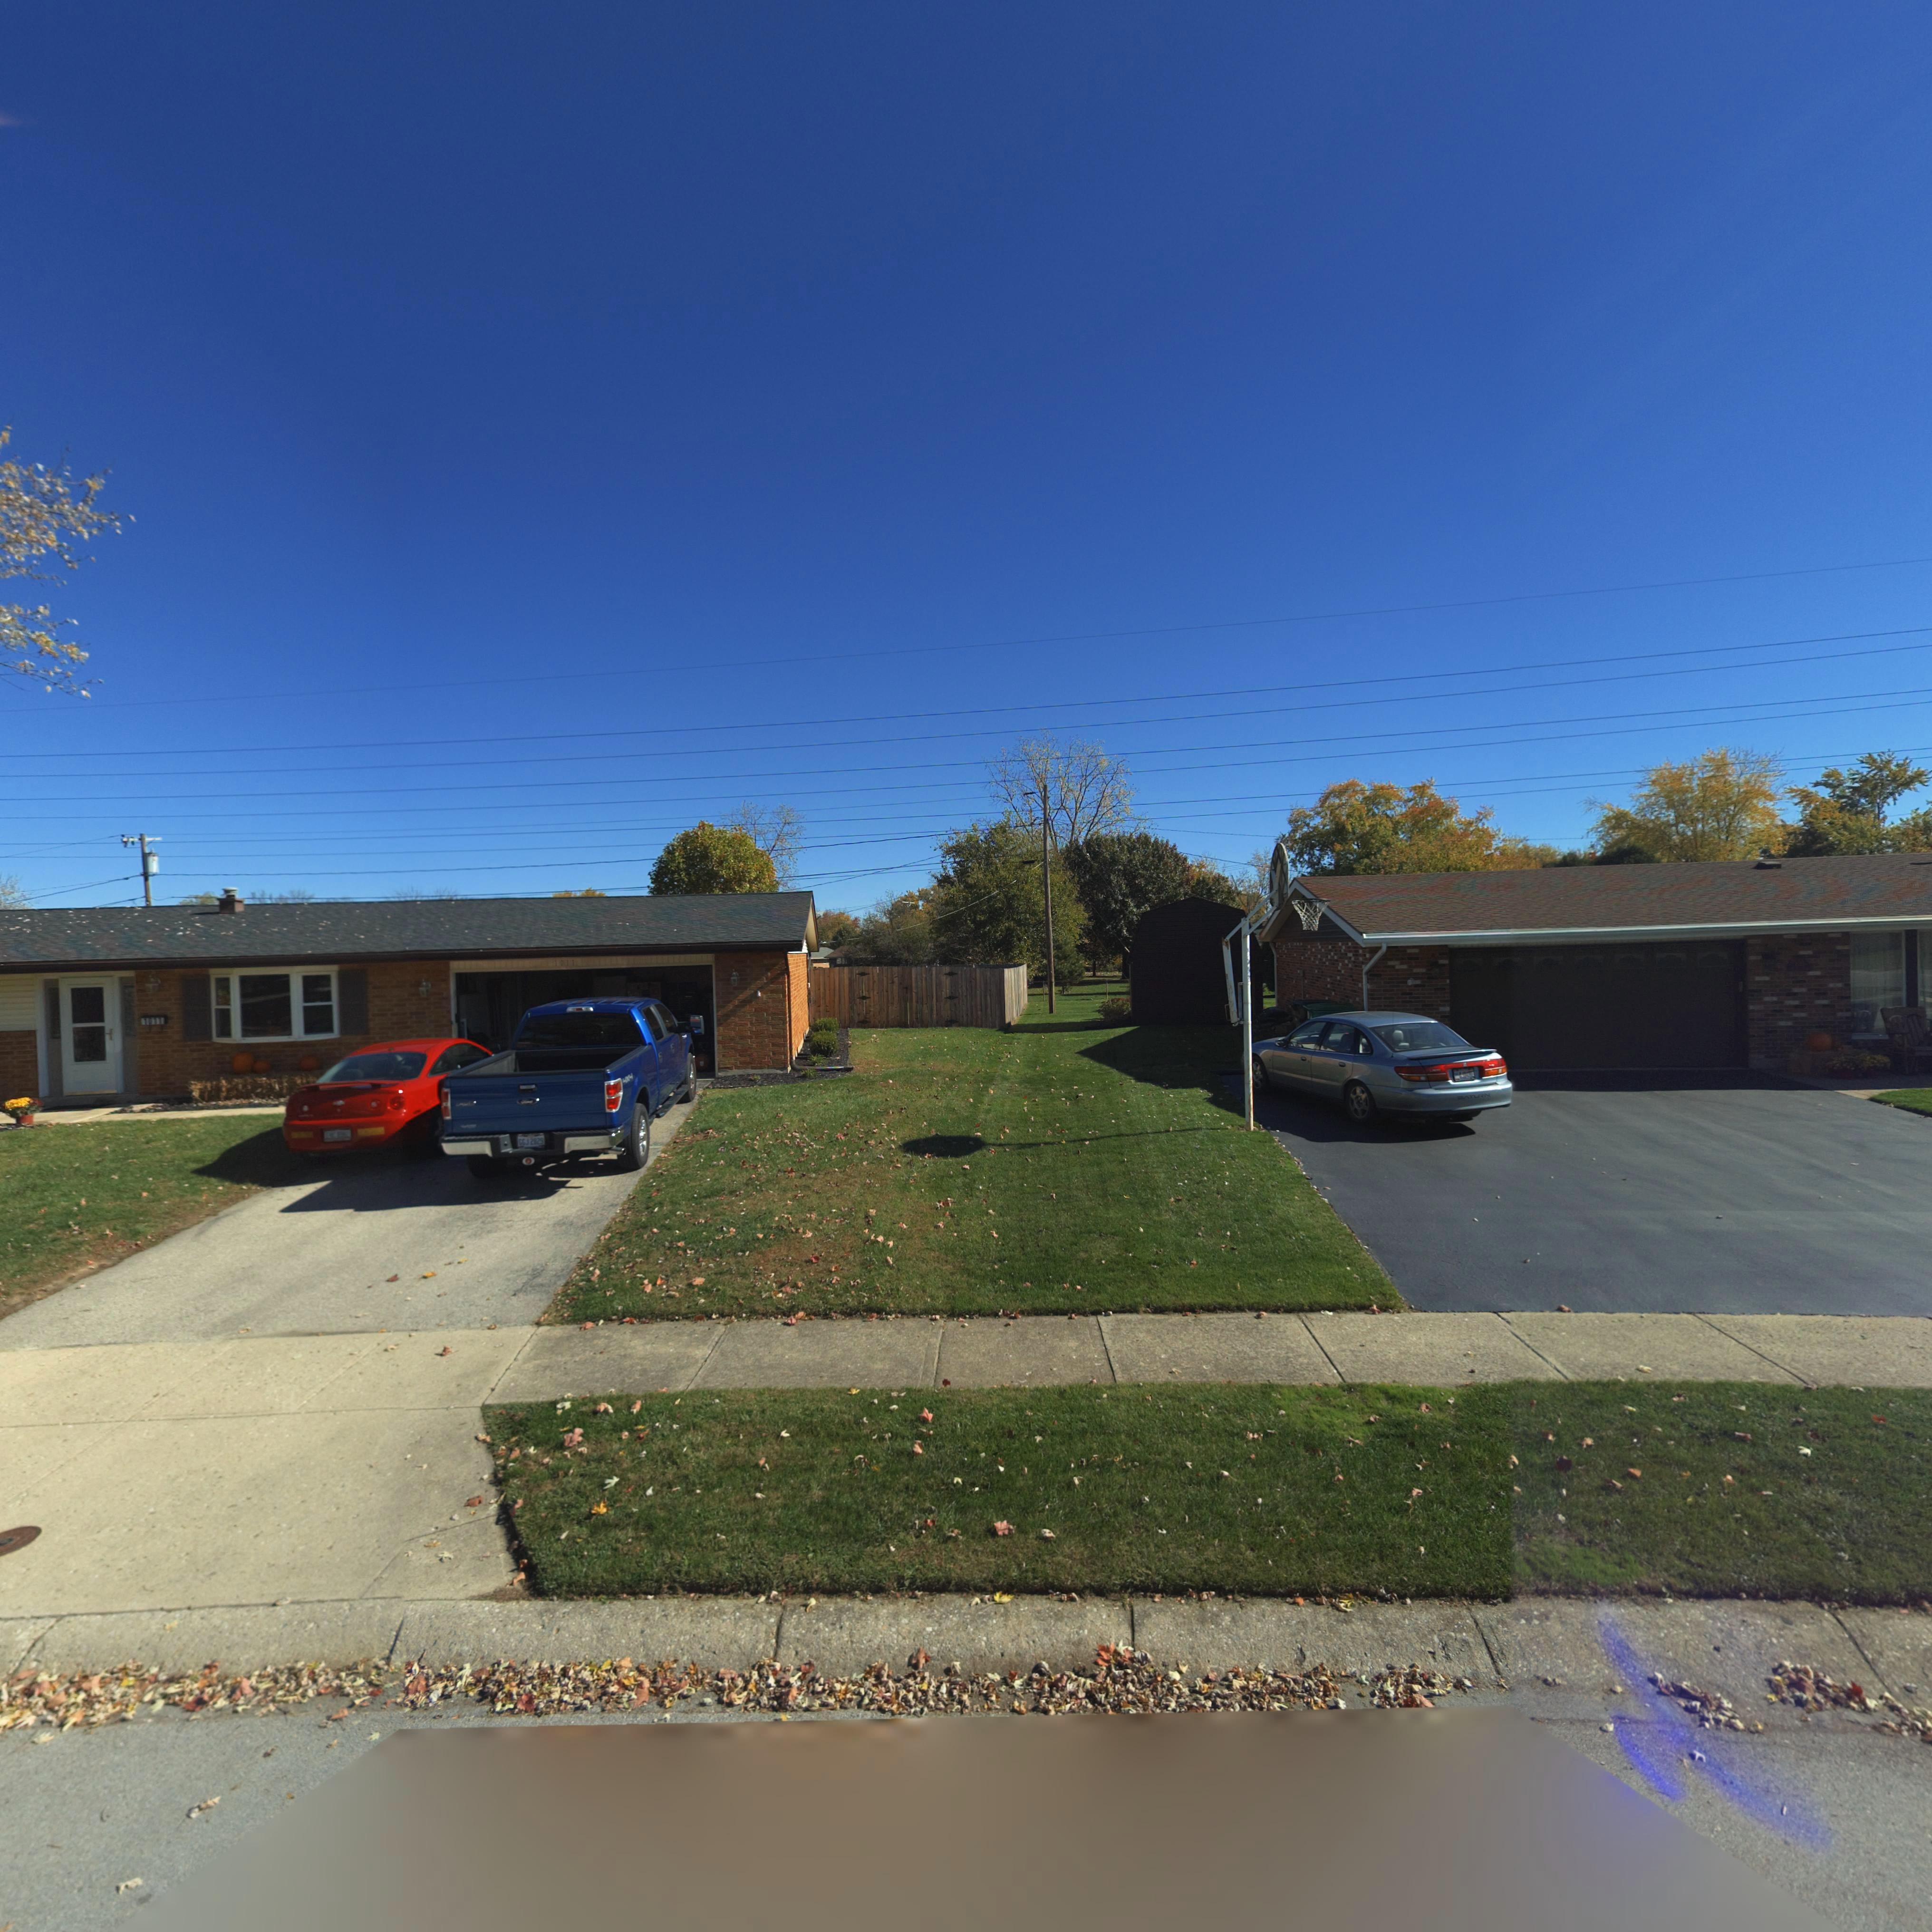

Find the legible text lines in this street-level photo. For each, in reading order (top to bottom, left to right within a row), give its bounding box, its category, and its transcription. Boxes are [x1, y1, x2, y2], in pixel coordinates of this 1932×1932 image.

[554, 958, 575, 967] StreetNumber: 1011
[143, 1017, 162, 1025] StreetNumber: 1011